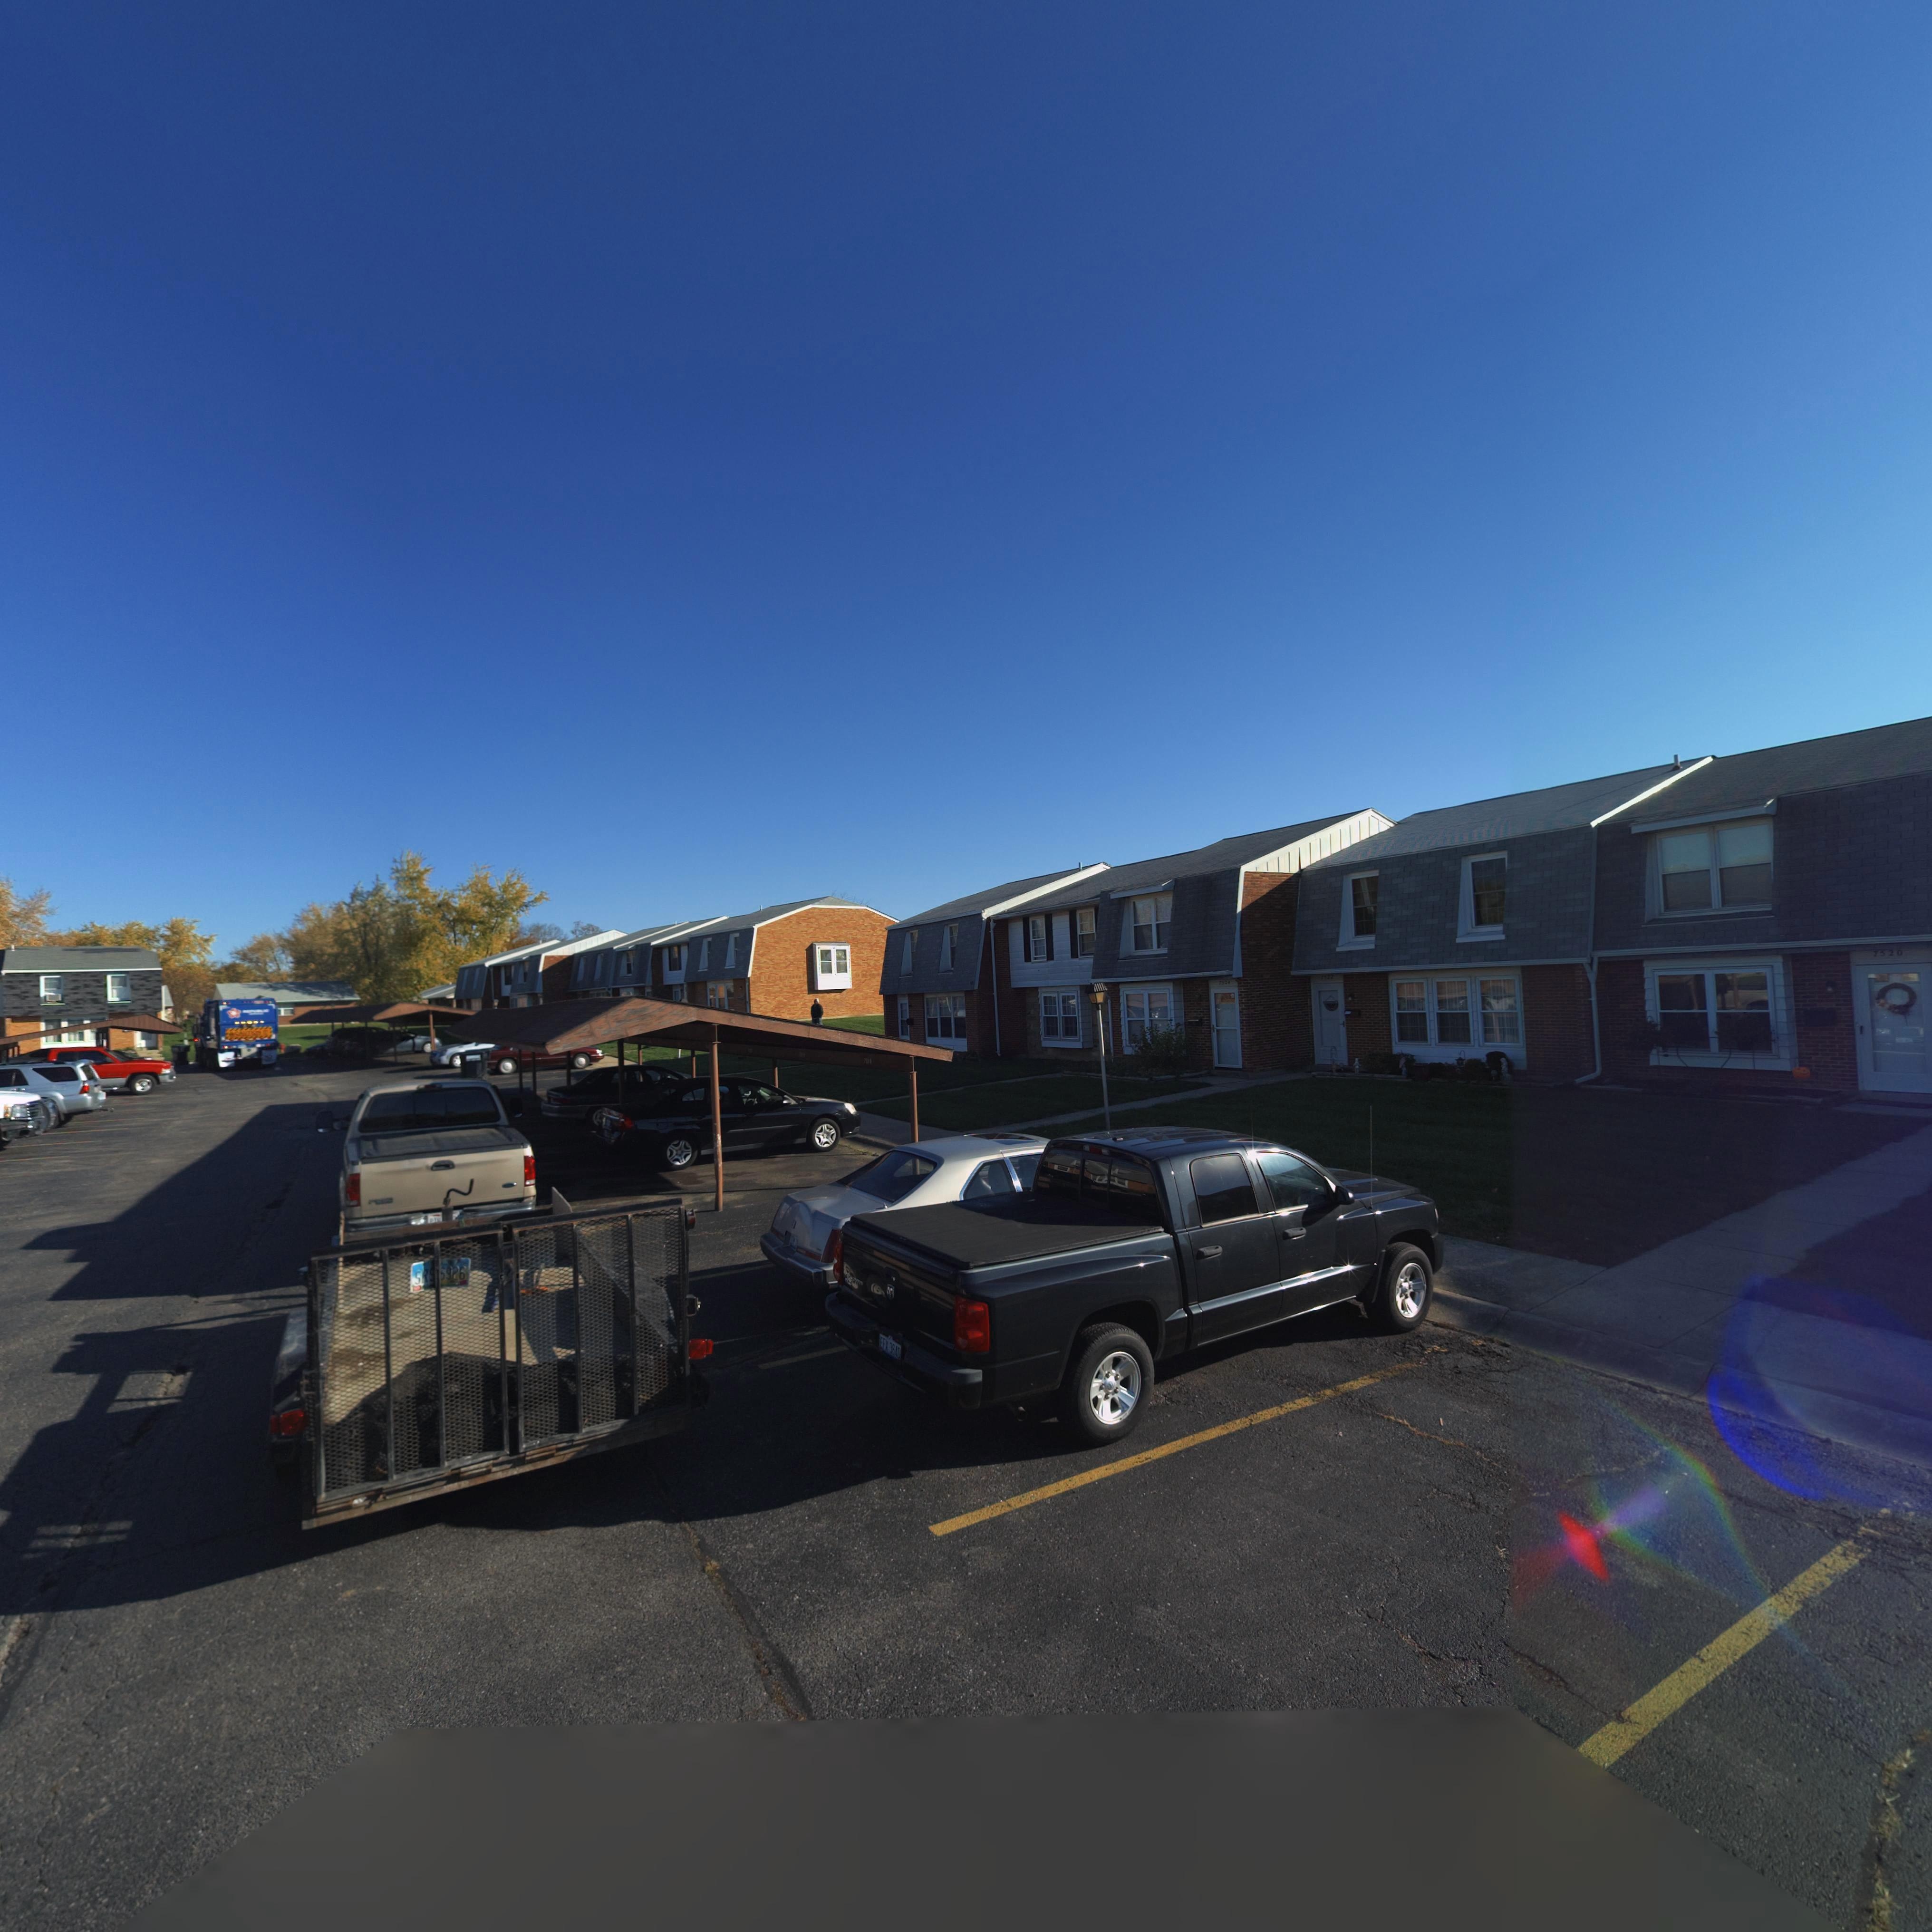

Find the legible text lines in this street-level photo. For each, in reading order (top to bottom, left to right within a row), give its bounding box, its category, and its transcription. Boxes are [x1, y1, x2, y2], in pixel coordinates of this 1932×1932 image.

[1872, 949, 1903, 957] StreetNumber: 7520
[1320, 974, 1334, 980] StreetNumber: 7*22
[1218, 979, 1231, 985] StreetNumber: 7524
[863, 1058, 872, 1064] StreetNumber: 751*